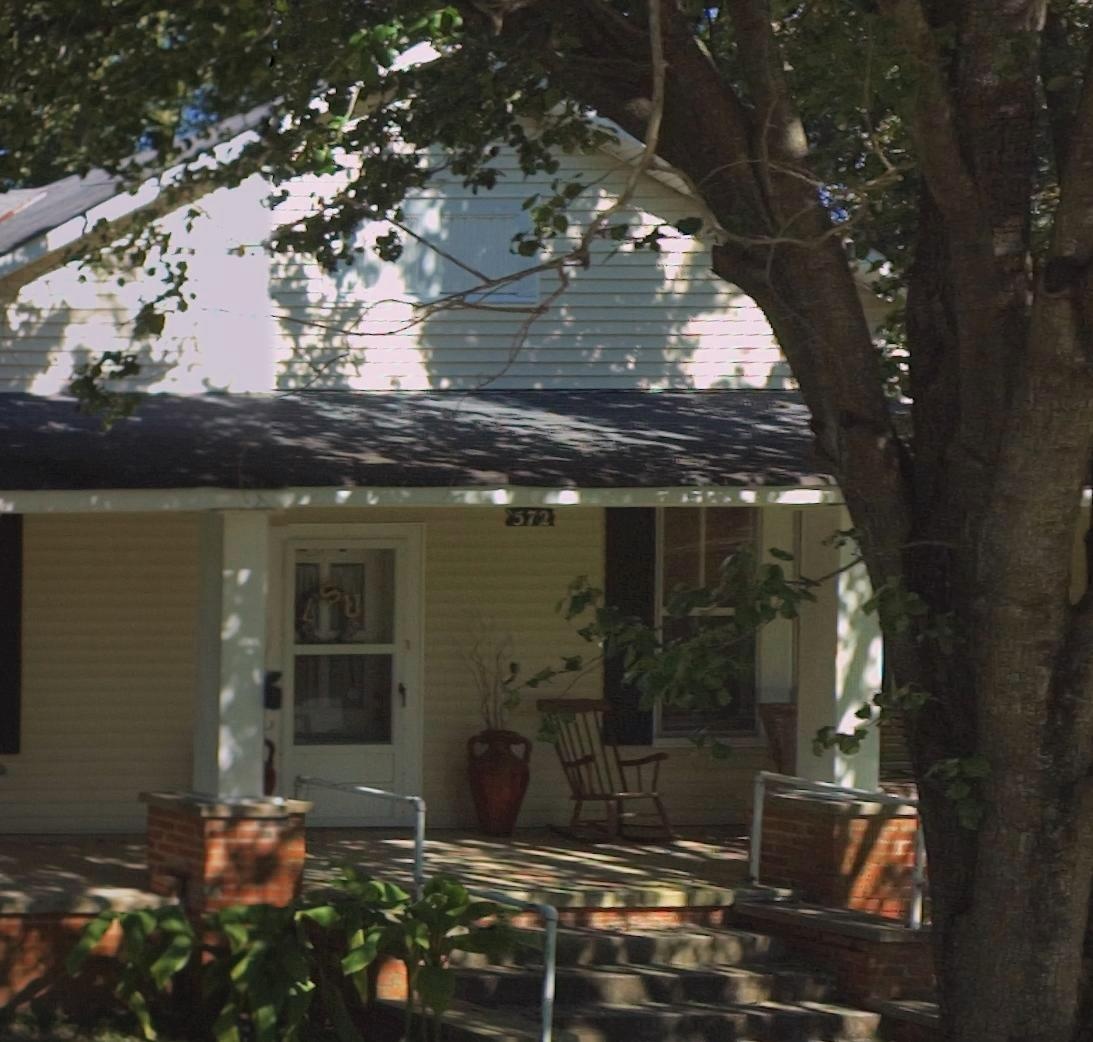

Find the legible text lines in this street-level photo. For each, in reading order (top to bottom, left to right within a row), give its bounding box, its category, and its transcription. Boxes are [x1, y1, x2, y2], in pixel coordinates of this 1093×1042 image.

[513, 509, 550, 527] StreetNumber: 572